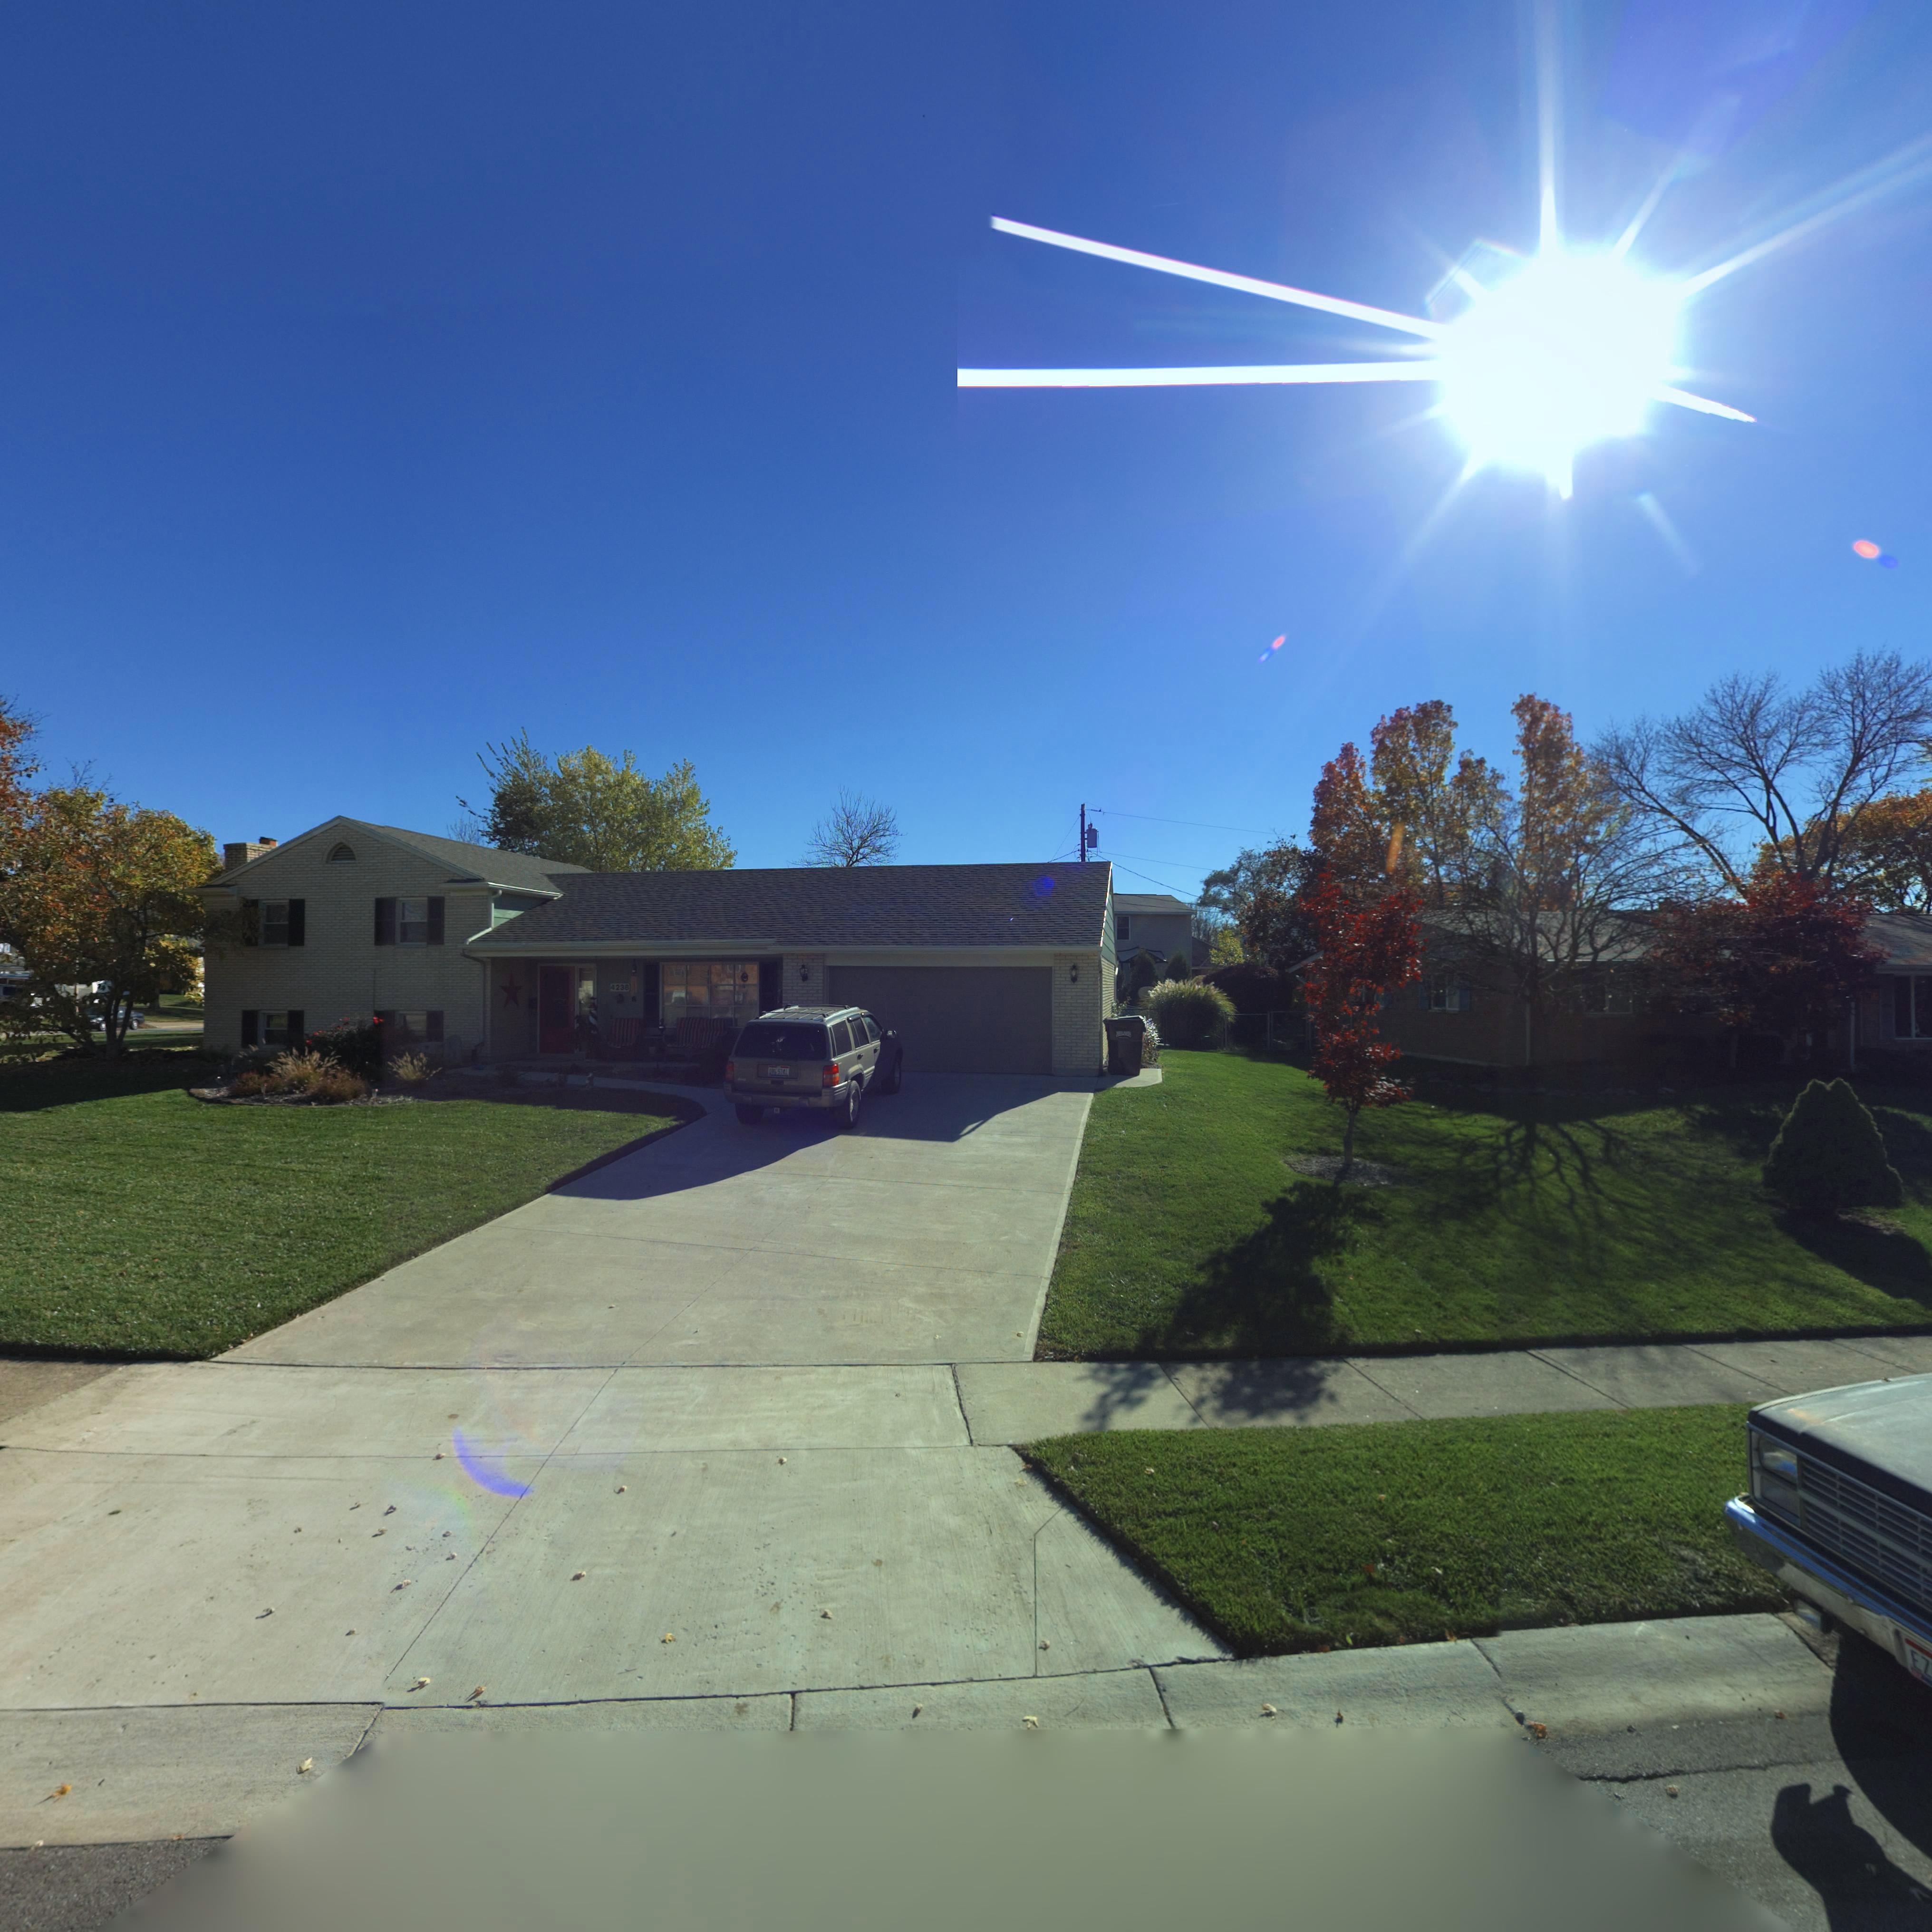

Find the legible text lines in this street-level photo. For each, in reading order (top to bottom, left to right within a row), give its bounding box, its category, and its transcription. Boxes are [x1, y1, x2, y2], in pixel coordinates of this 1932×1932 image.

[609, 983, 630, 991] StreetNumber: 4238
[768, 1068, 788, 1075] None: DVG*5741